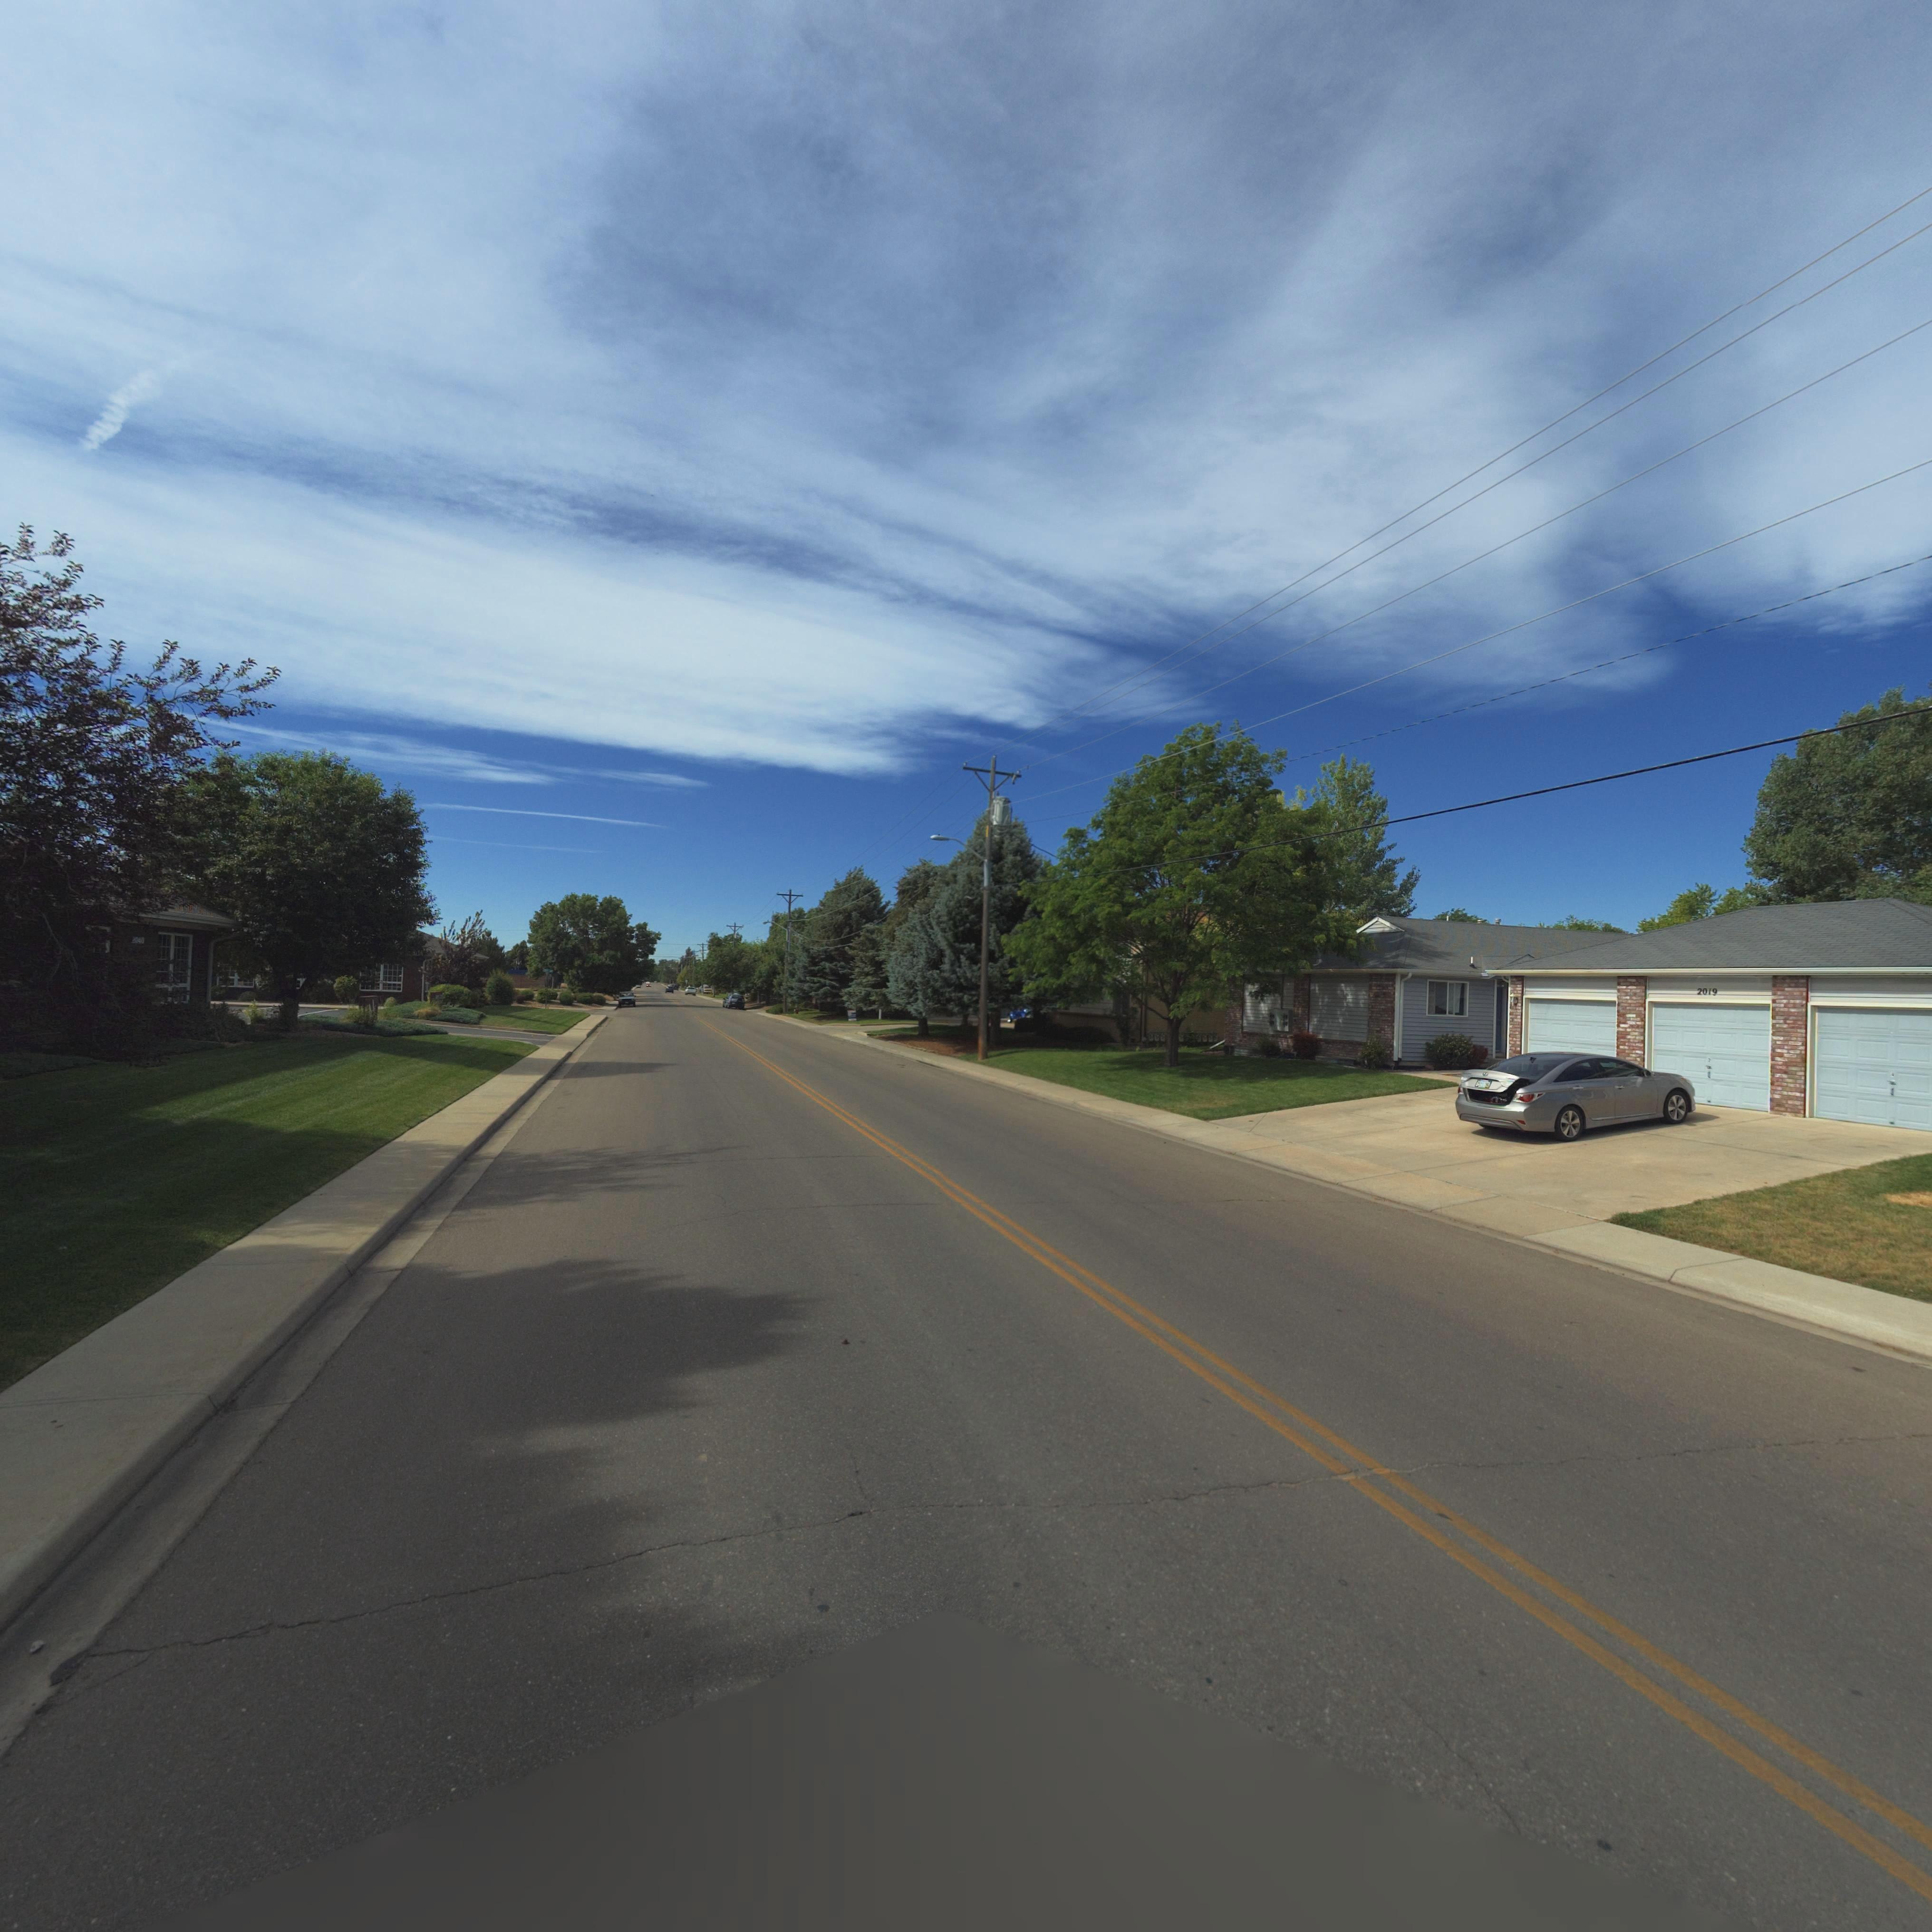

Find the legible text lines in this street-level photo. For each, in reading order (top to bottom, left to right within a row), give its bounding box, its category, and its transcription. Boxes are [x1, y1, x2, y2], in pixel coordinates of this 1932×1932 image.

[131, 935, 145, 944] StreetNumber: *040
[1696, 987, 1718, 996] StreetNumber: 2019